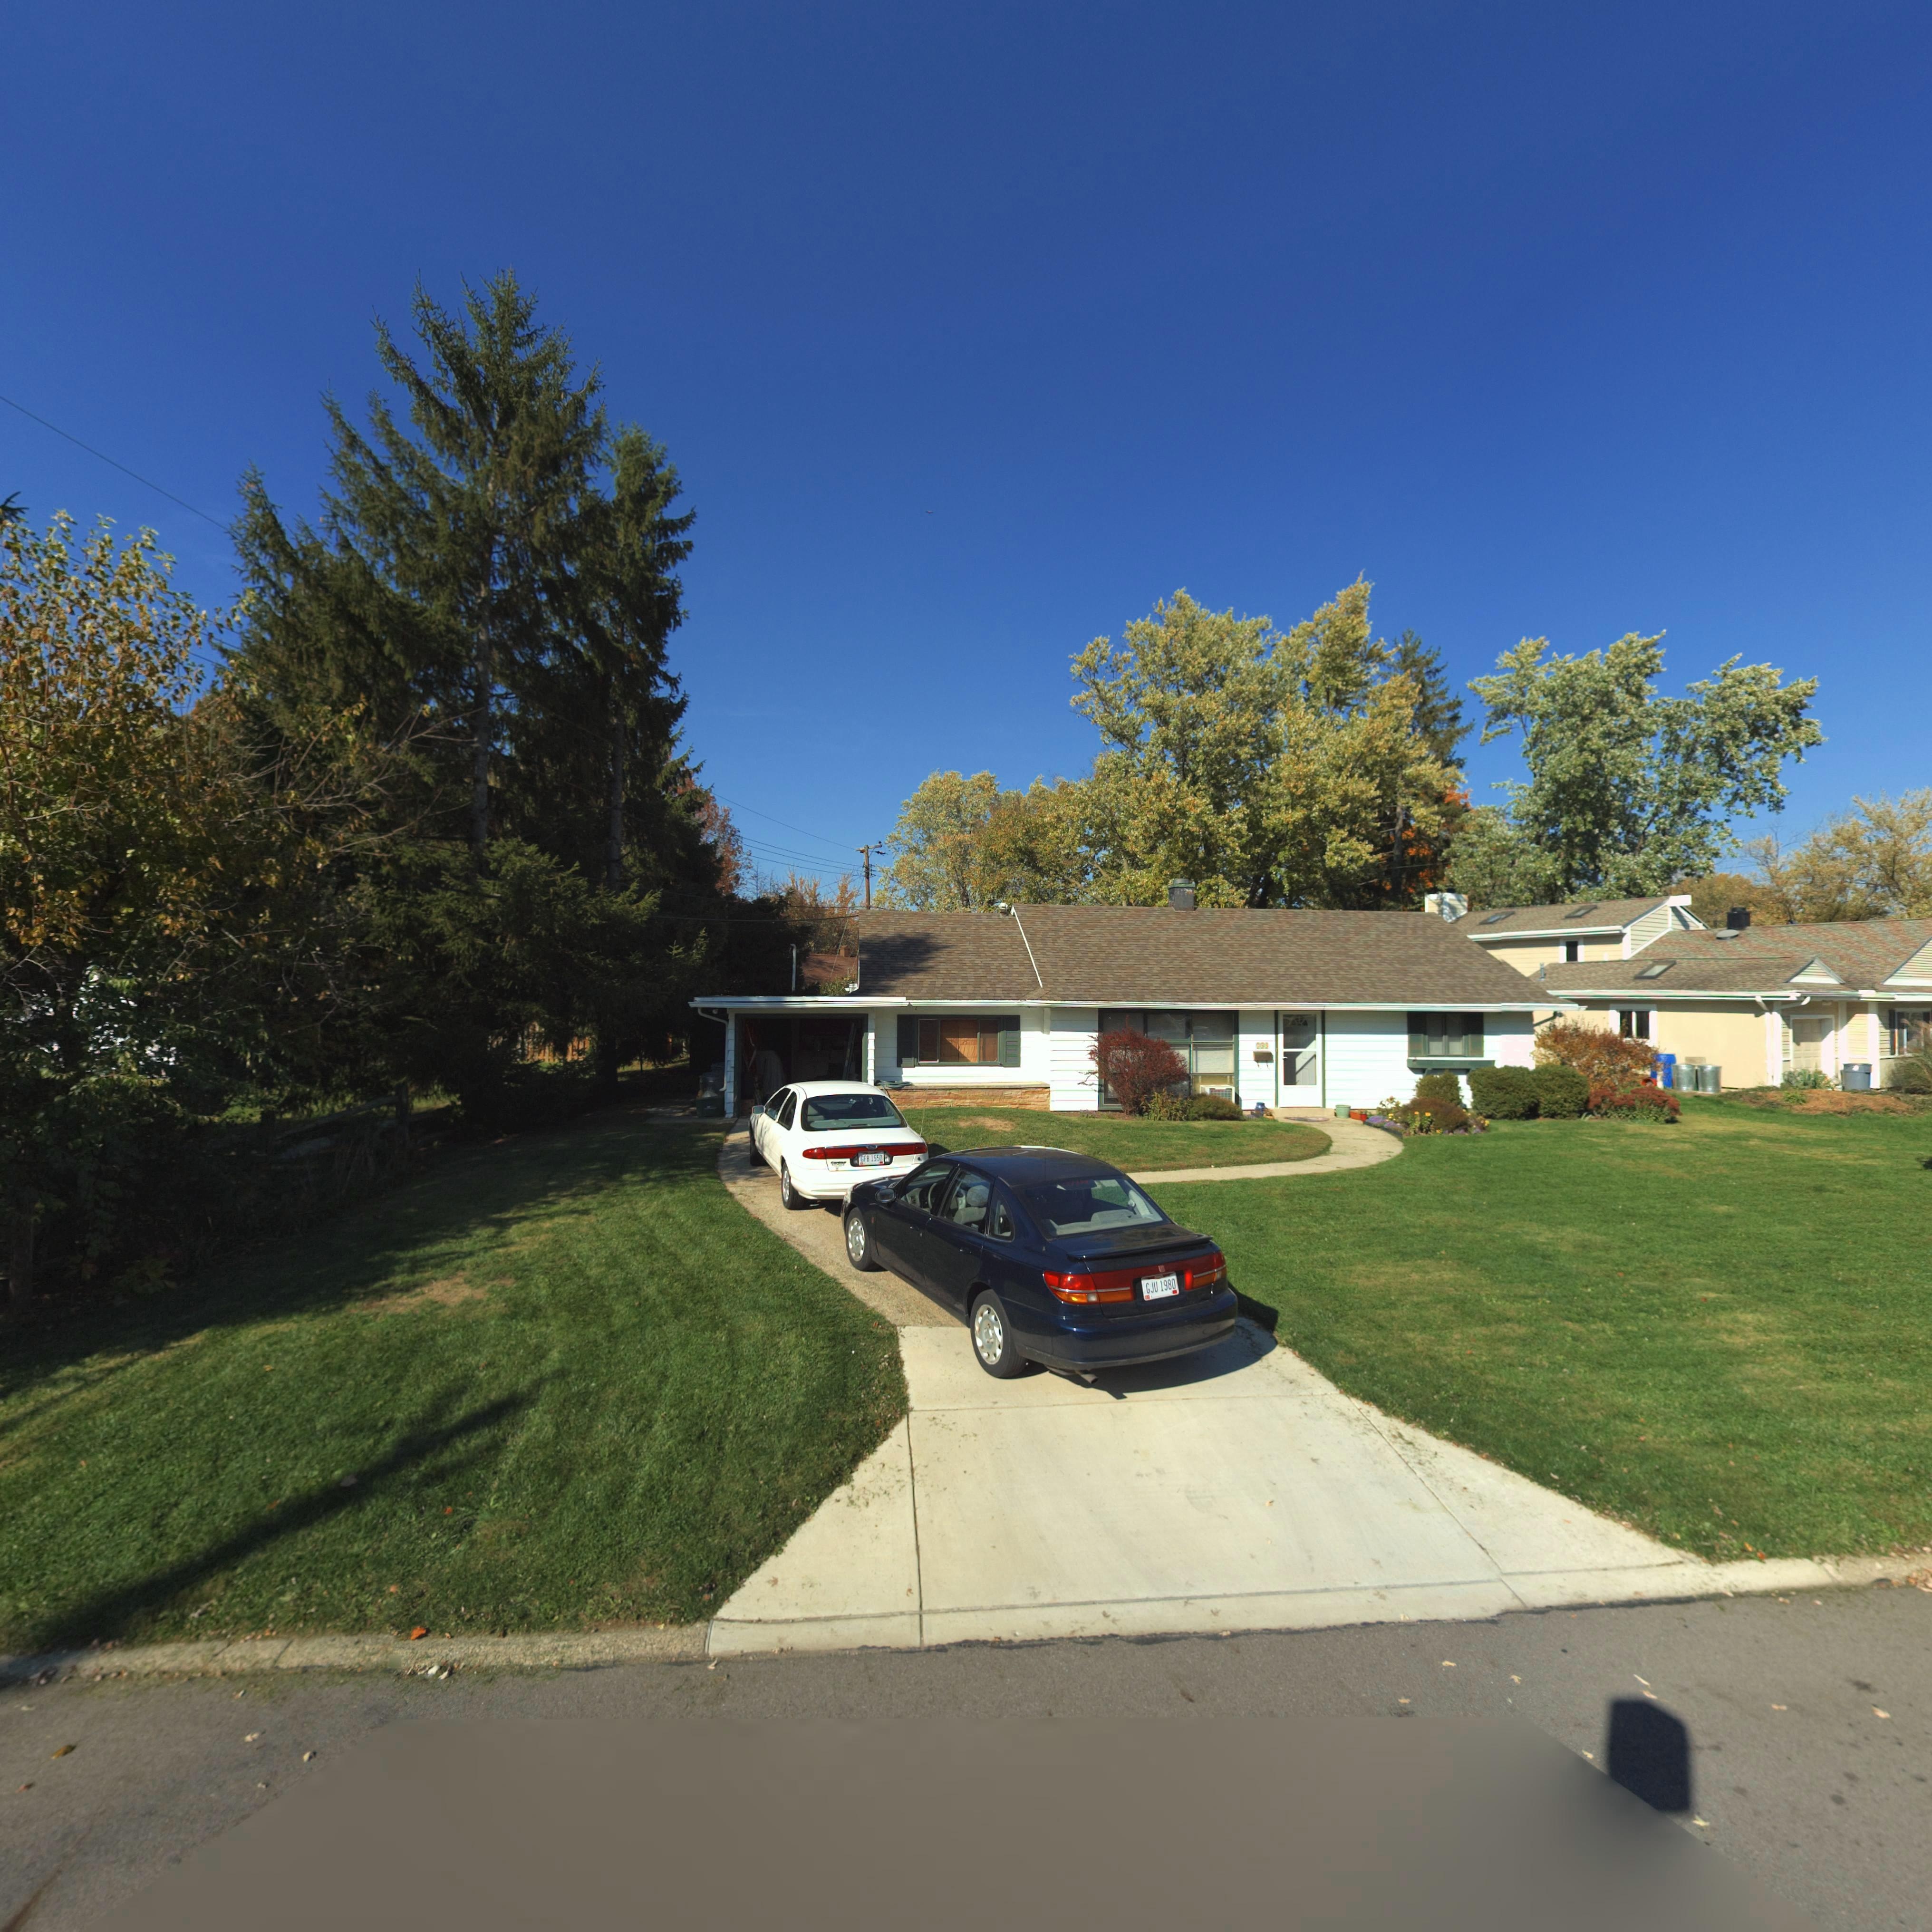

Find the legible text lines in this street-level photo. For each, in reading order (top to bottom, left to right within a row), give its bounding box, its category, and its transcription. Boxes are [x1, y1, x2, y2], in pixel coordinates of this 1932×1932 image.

[860, 1153, 884, 1163] None: GFB 1550
[1144, 1276, 1178, 1296] None: GJU 1980